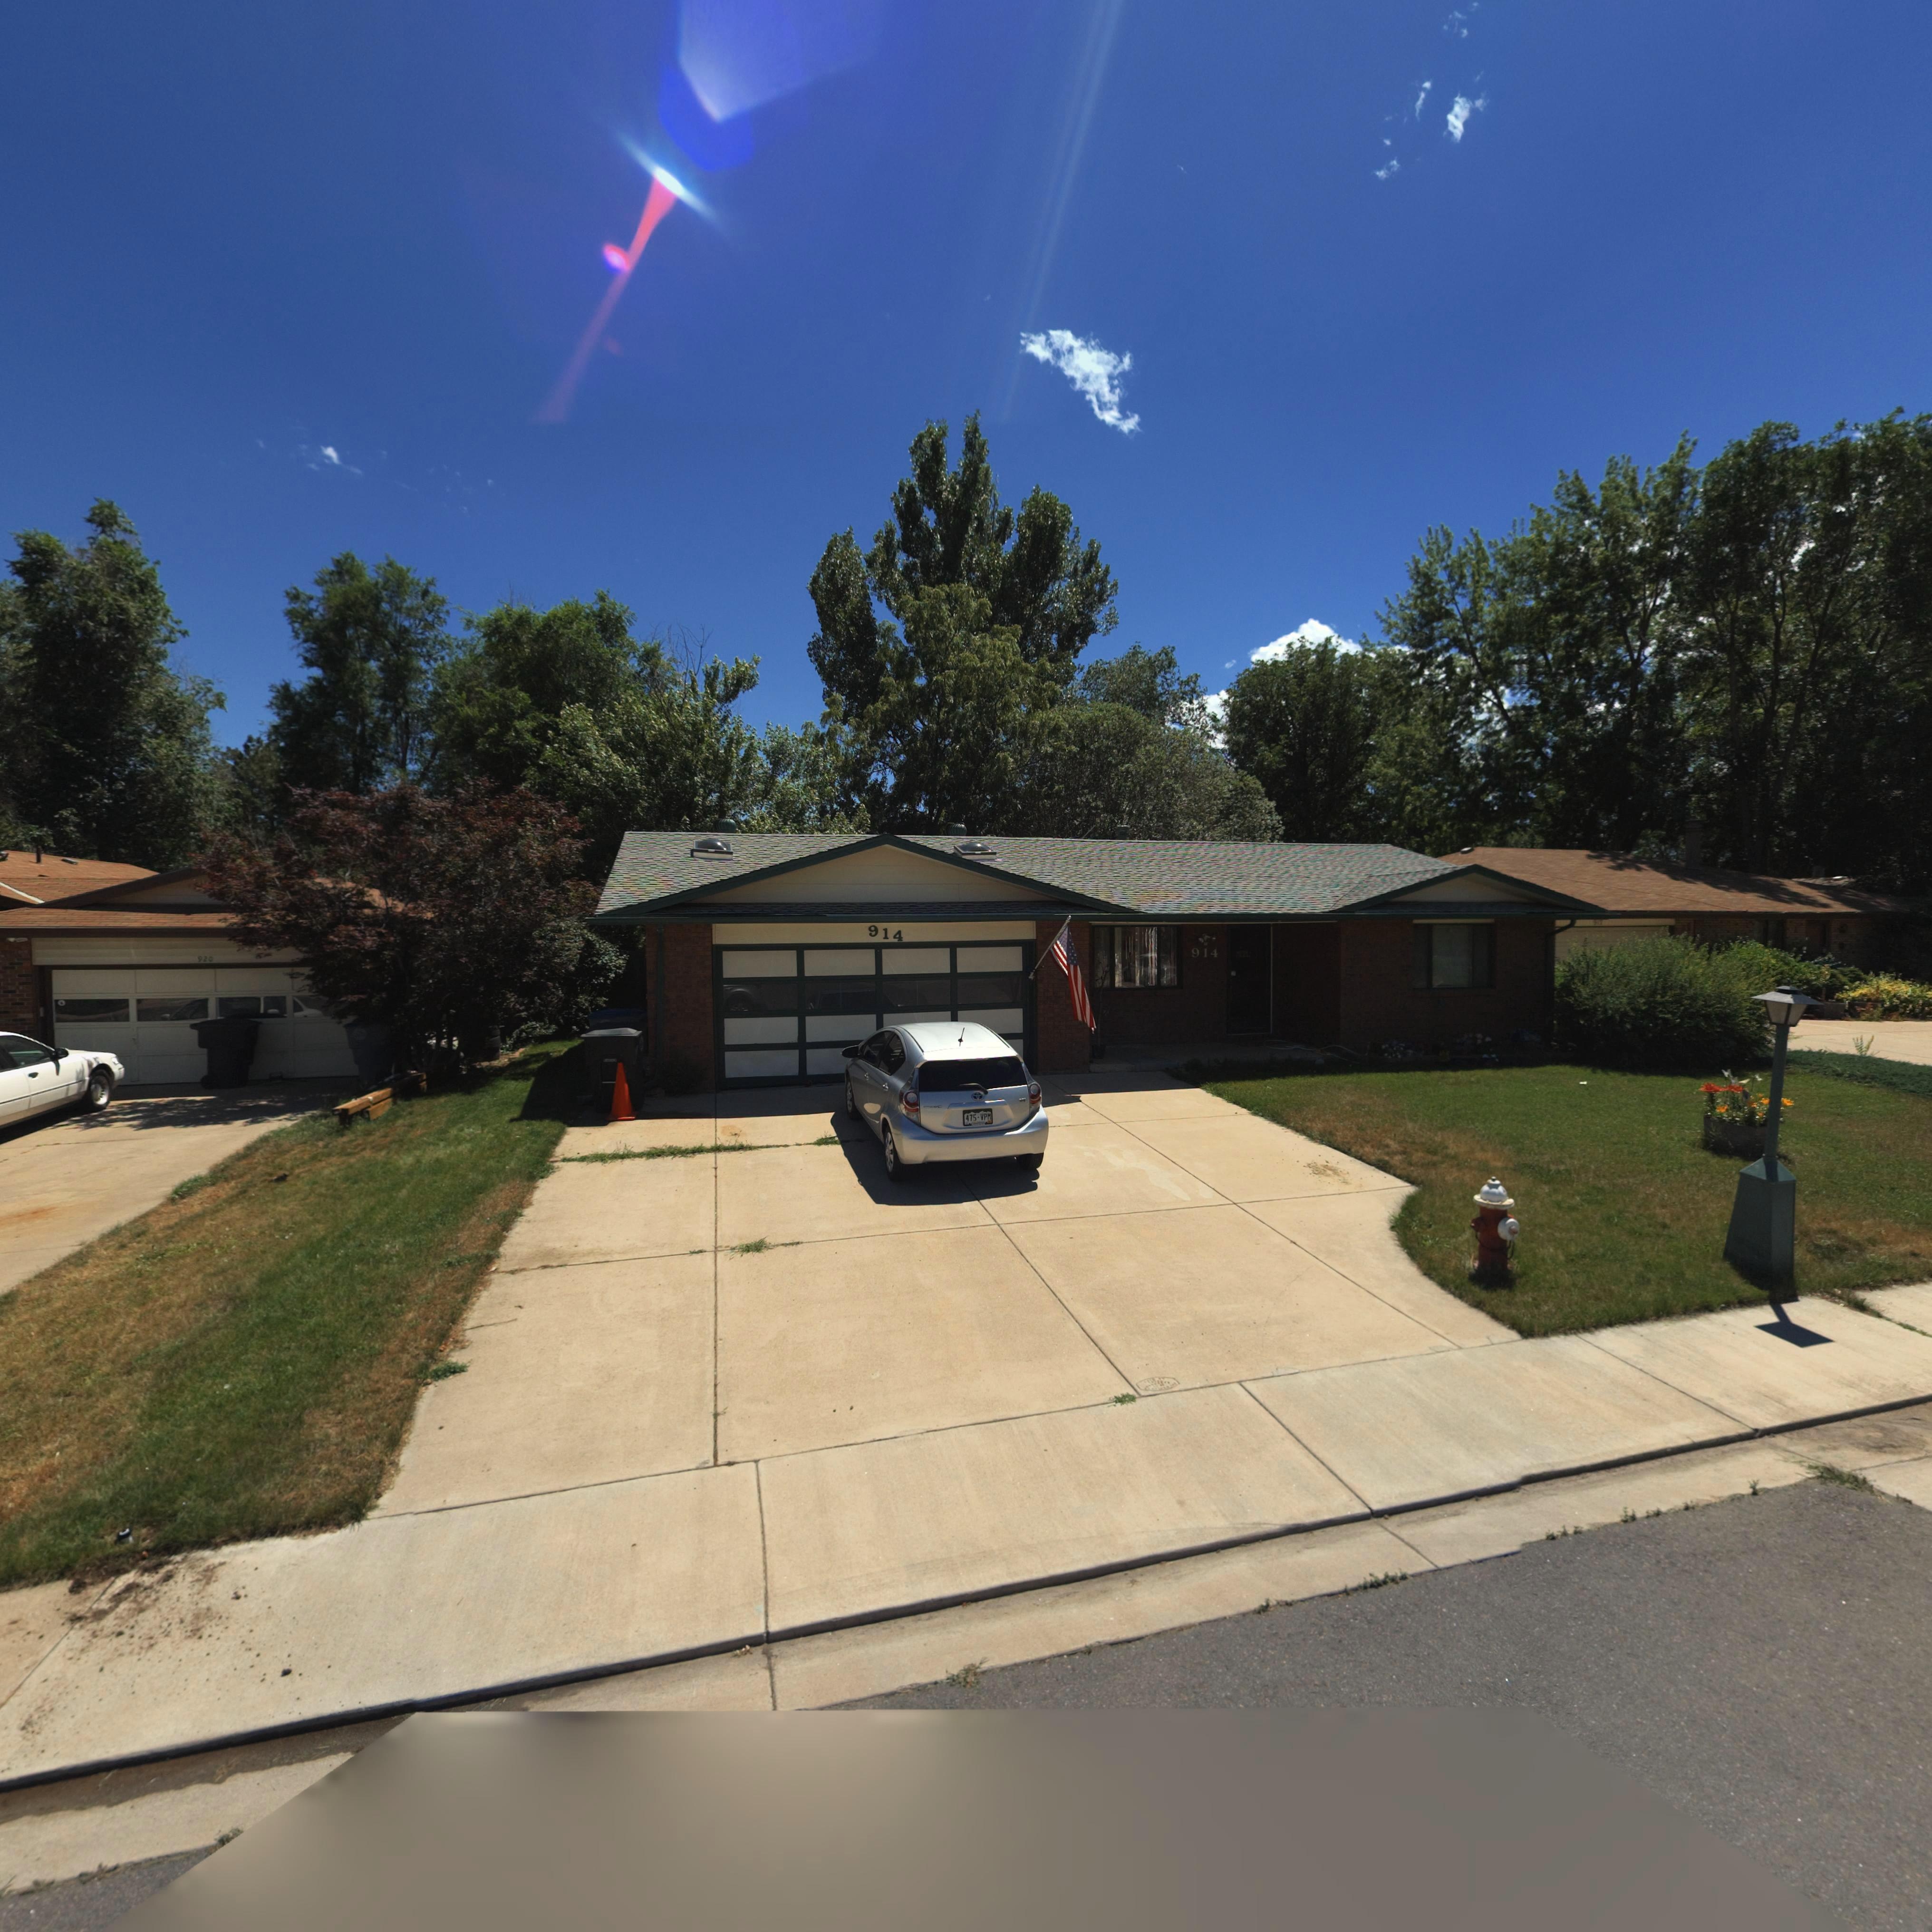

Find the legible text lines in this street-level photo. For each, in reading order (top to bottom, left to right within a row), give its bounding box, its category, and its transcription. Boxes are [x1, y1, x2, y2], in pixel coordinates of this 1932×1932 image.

[1593, 918, 1603, 925] StreetNumber: 91*
[868, 924, 905, 942] StreetNumber: 914
[1191, 947, 1218, 957] StreetNumber: 914
[197, 956, 213, 962] StreetNumber: 920